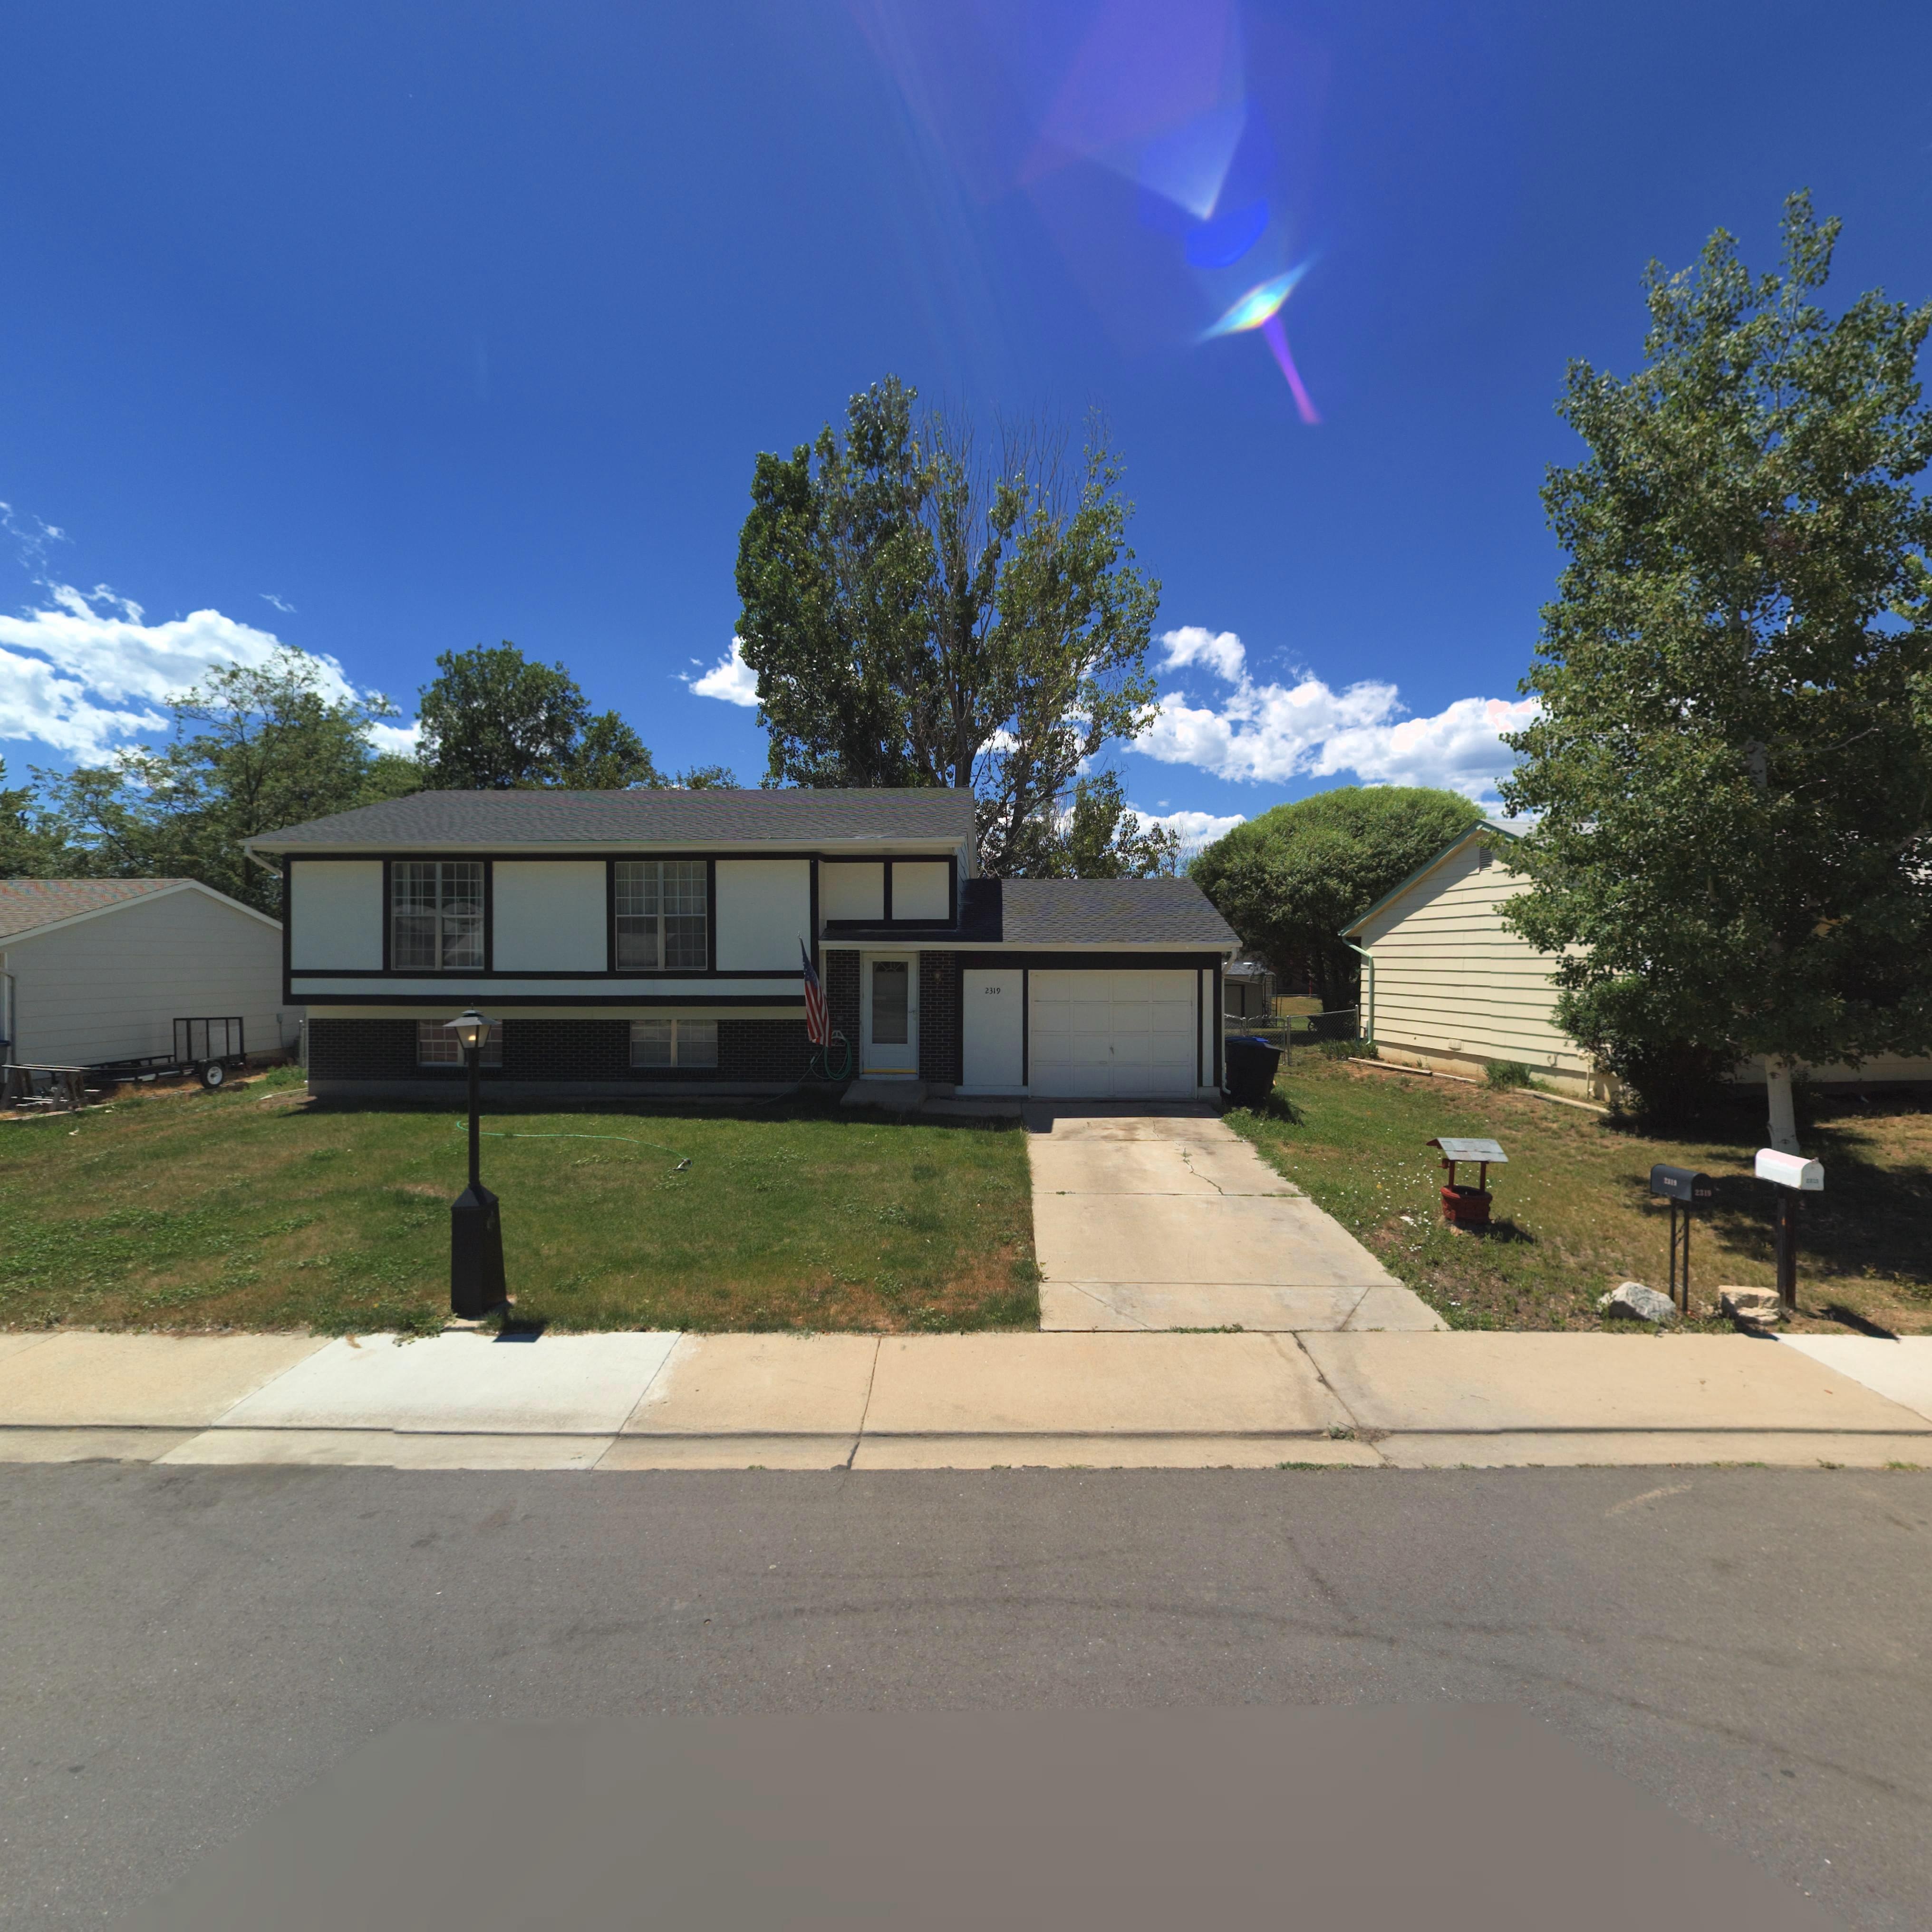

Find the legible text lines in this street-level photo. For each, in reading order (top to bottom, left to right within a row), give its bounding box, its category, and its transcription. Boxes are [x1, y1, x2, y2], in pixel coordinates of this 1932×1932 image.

[985, 987, 1000, 994] StreetNumber: 2319
[1663, 1176, 1677, 1186] StreetNumber: 2319
[1806, 1178, 1818, 1183] StreetNumber: 23**
[1695, 1188, 1711, 1197] StreetNumber: 2319